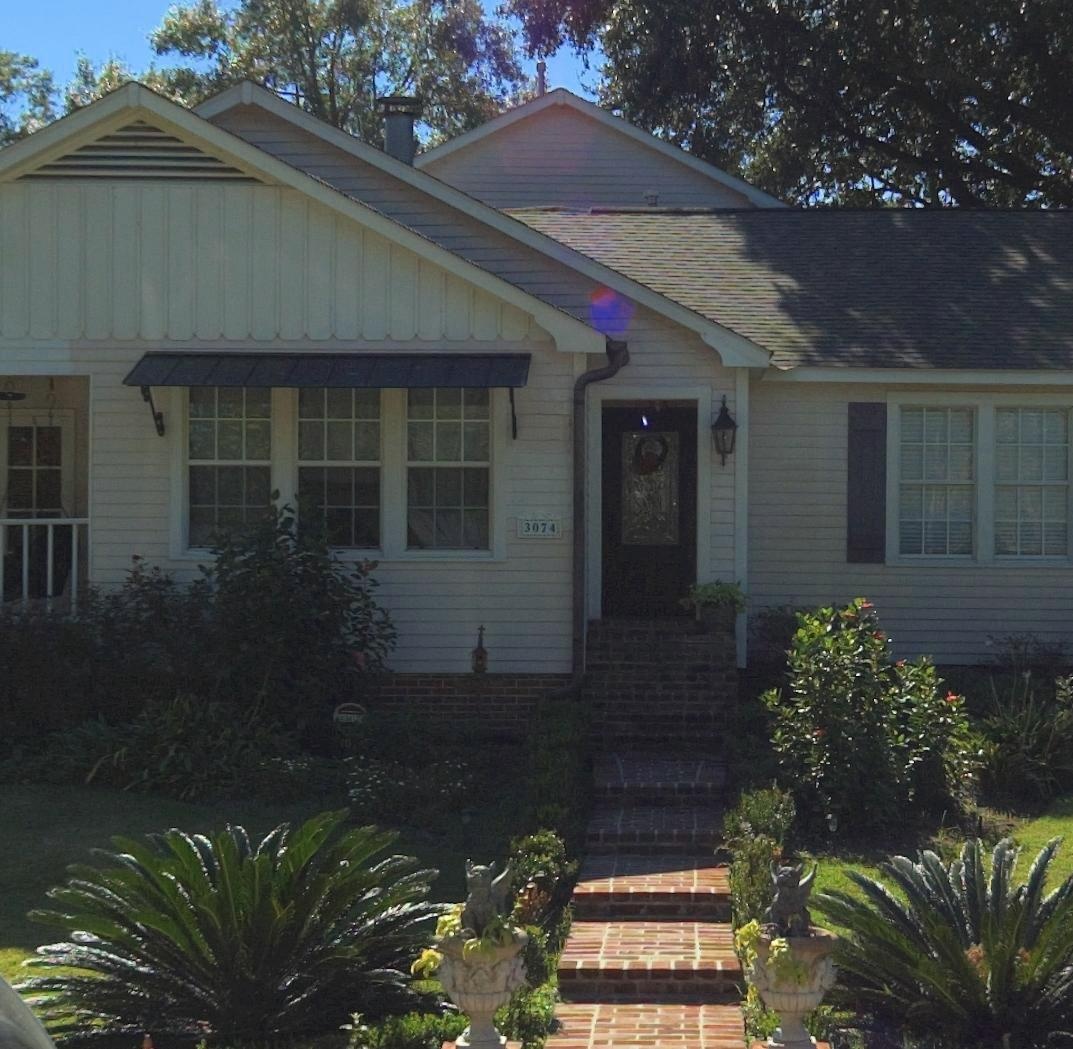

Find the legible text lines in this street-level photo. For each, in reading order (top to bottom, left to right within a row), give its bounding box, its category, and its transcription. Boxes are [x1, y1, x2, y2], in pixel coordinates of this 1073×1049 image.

[523, 521, 557, 534] StreetNumber: 3074